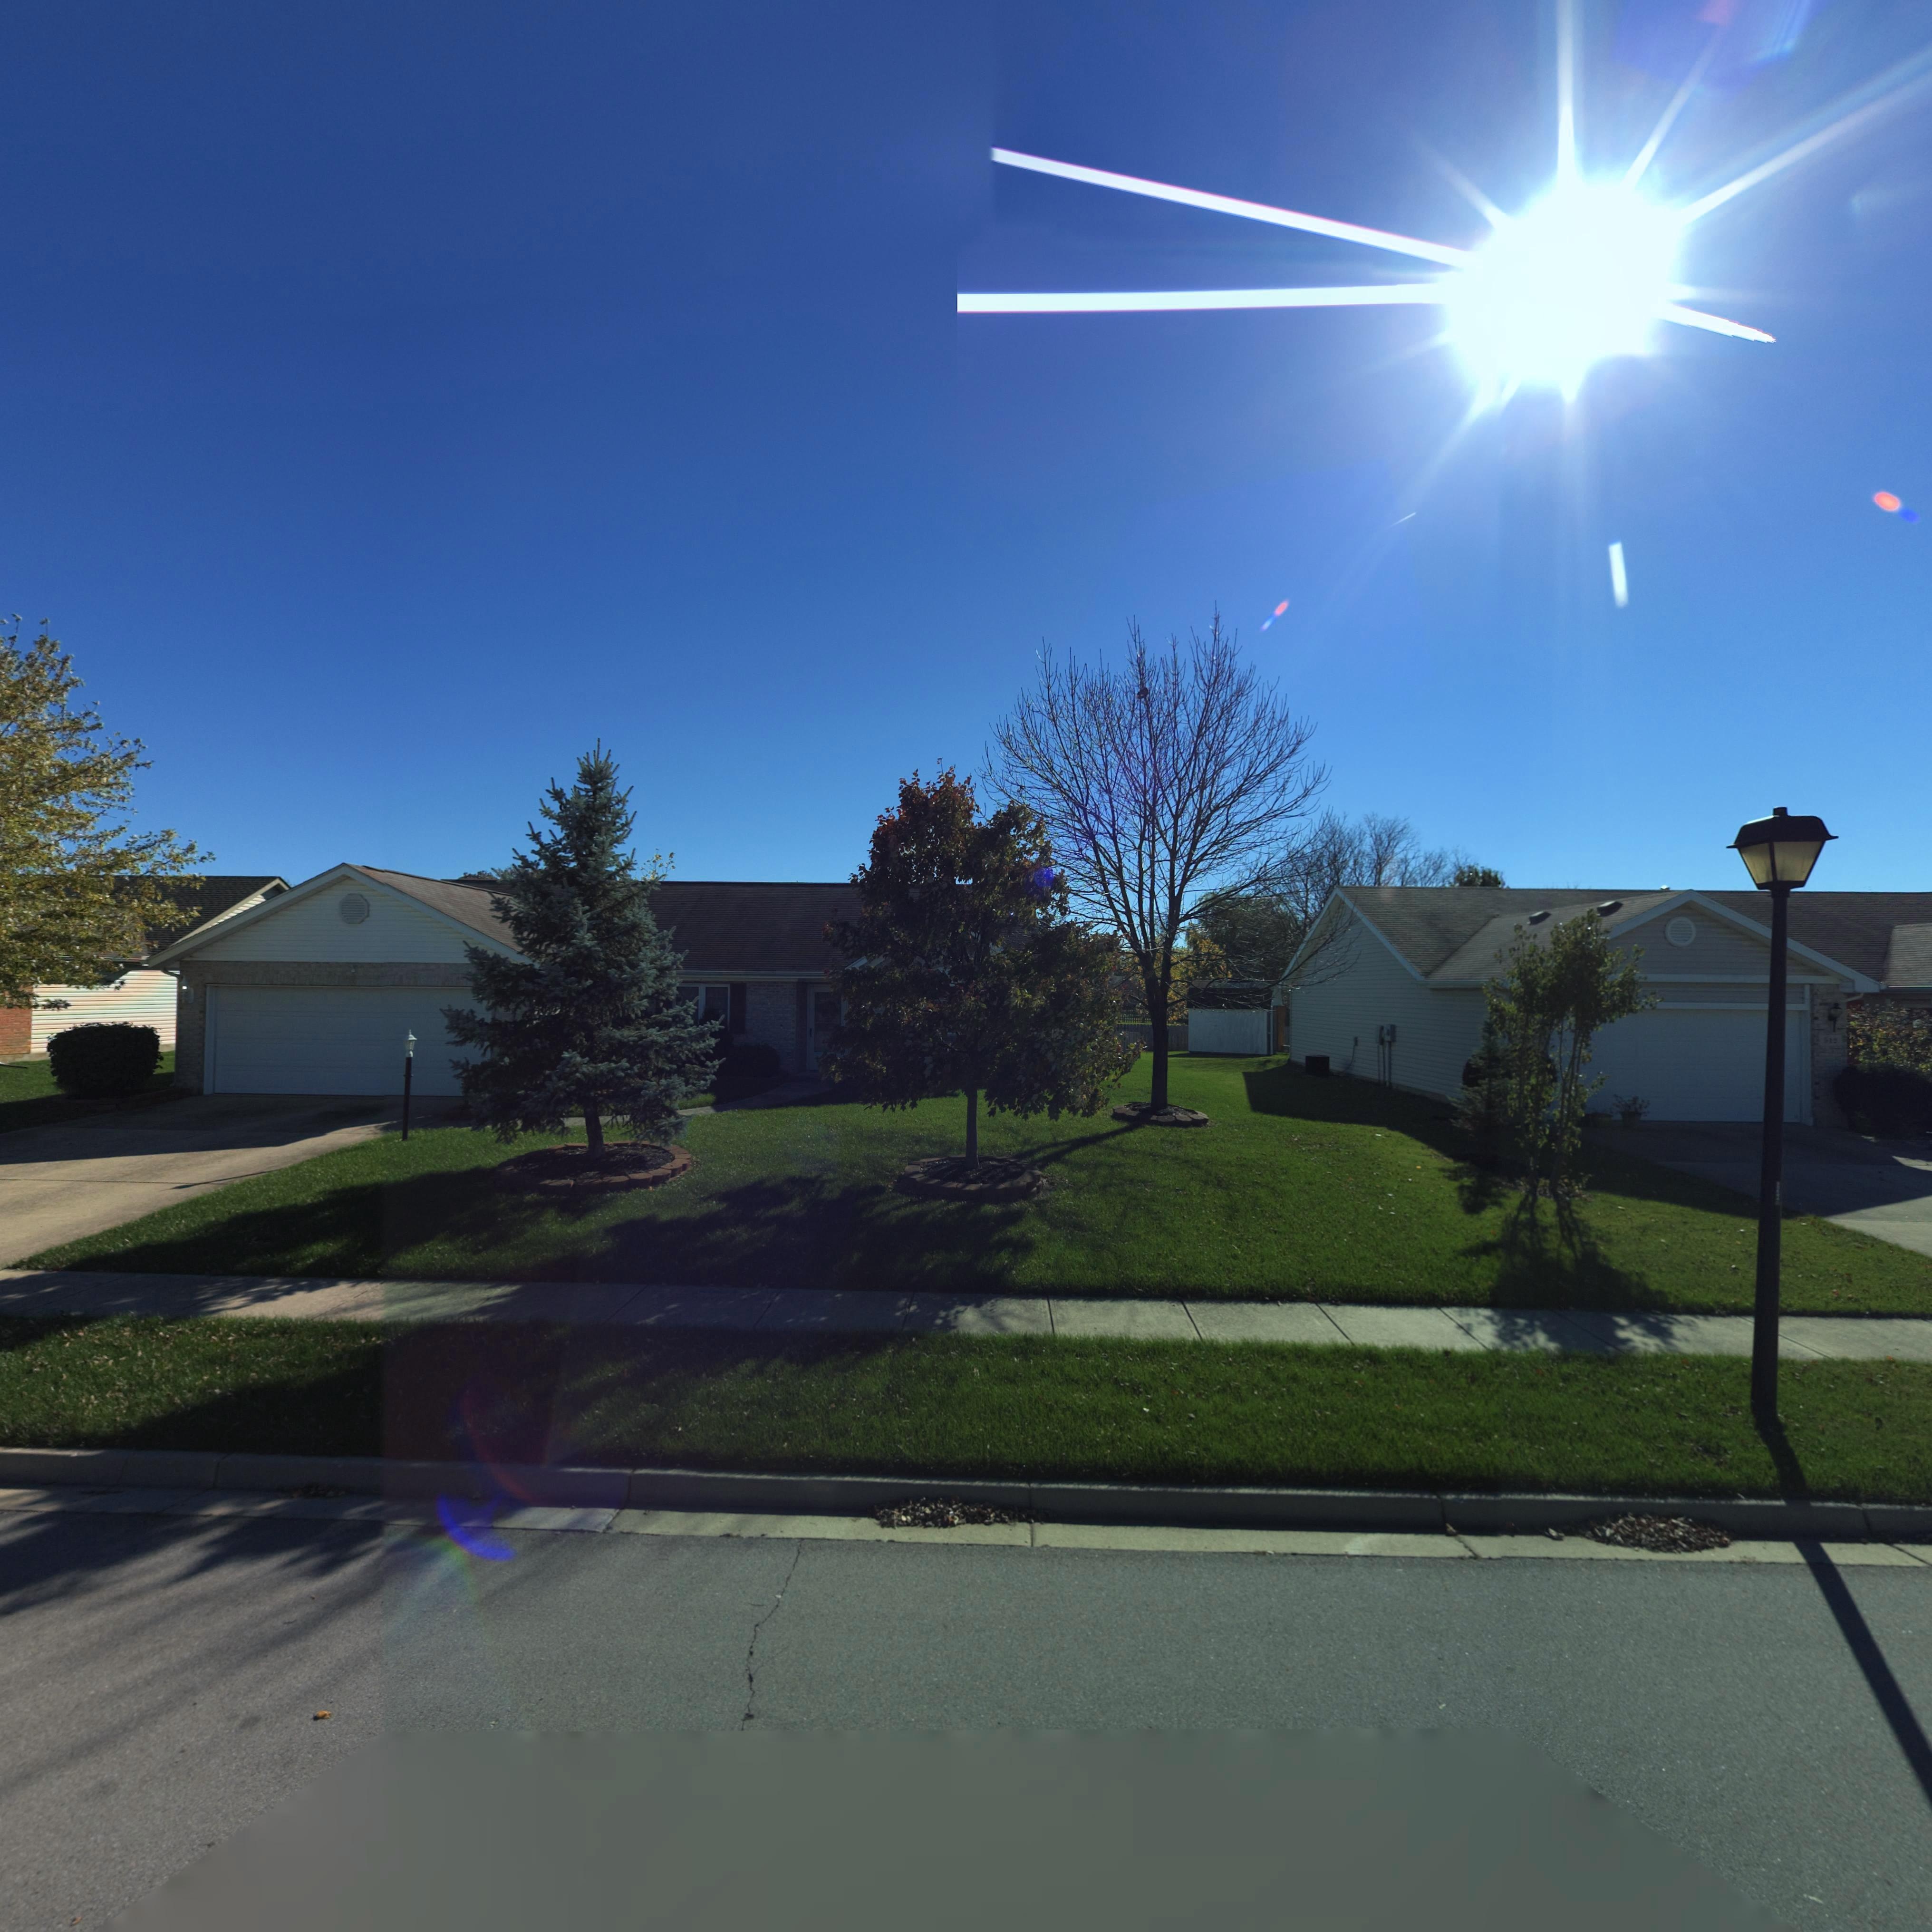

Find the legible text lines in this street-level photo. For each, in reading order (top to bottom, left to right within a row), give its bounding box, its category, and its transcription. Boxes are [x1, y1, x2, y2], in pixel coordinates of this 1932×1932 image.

[1822, 1036, 1839, 1045] StreetNumber: *1*